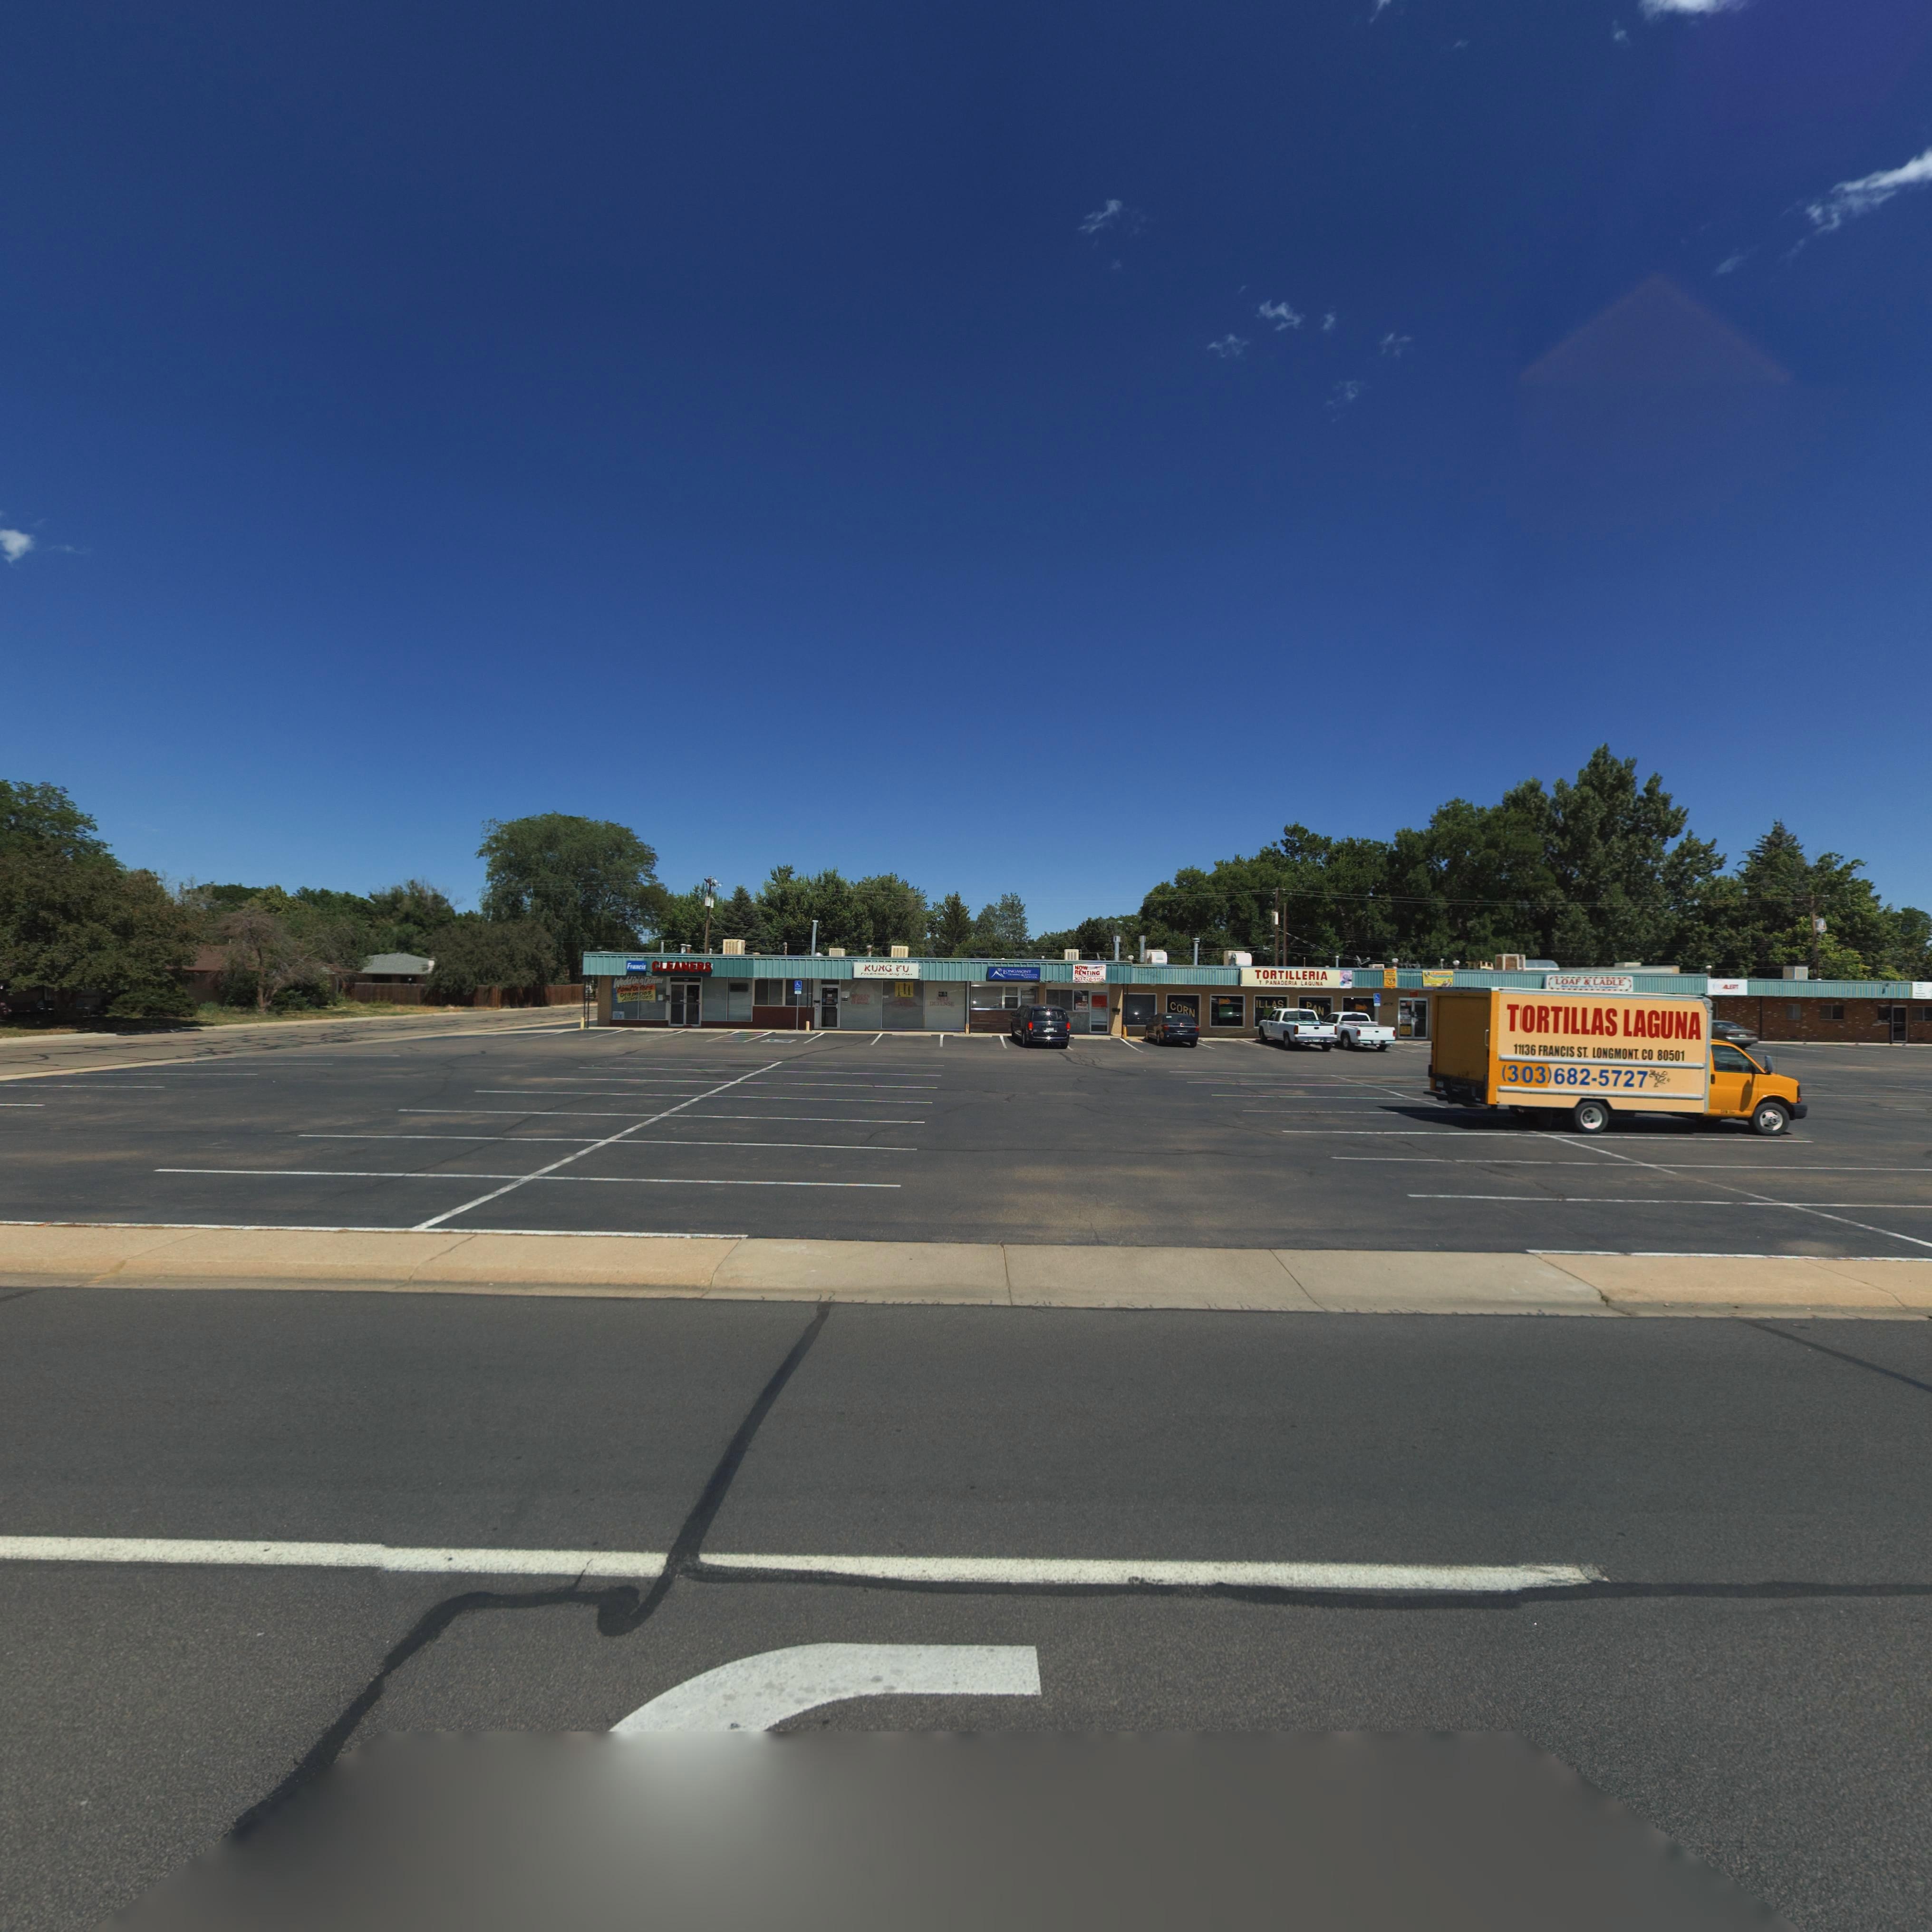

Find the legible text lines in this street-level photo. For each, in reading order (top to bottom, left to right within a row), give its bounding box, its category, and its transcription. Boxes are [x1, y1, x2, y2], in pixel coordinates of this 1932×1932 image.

[627, 962, 647, 969] BusinessName: Francis
[651, 960, 711, 972] BusinessName: CLEANERS
[863, 964, 909, 972] BusinessName: KUNG FU
[1255, 970, 1327, 980] BusinessName: TORTILLERIA
[1259, 979, 1323, 986] BusinessName: Y PANADERIA LAGUNA
[1555, 976, 1625, 986] BusinessName: LOAF * LADLE
[1721, 984, 1739, 989] BusinessName: ALERT